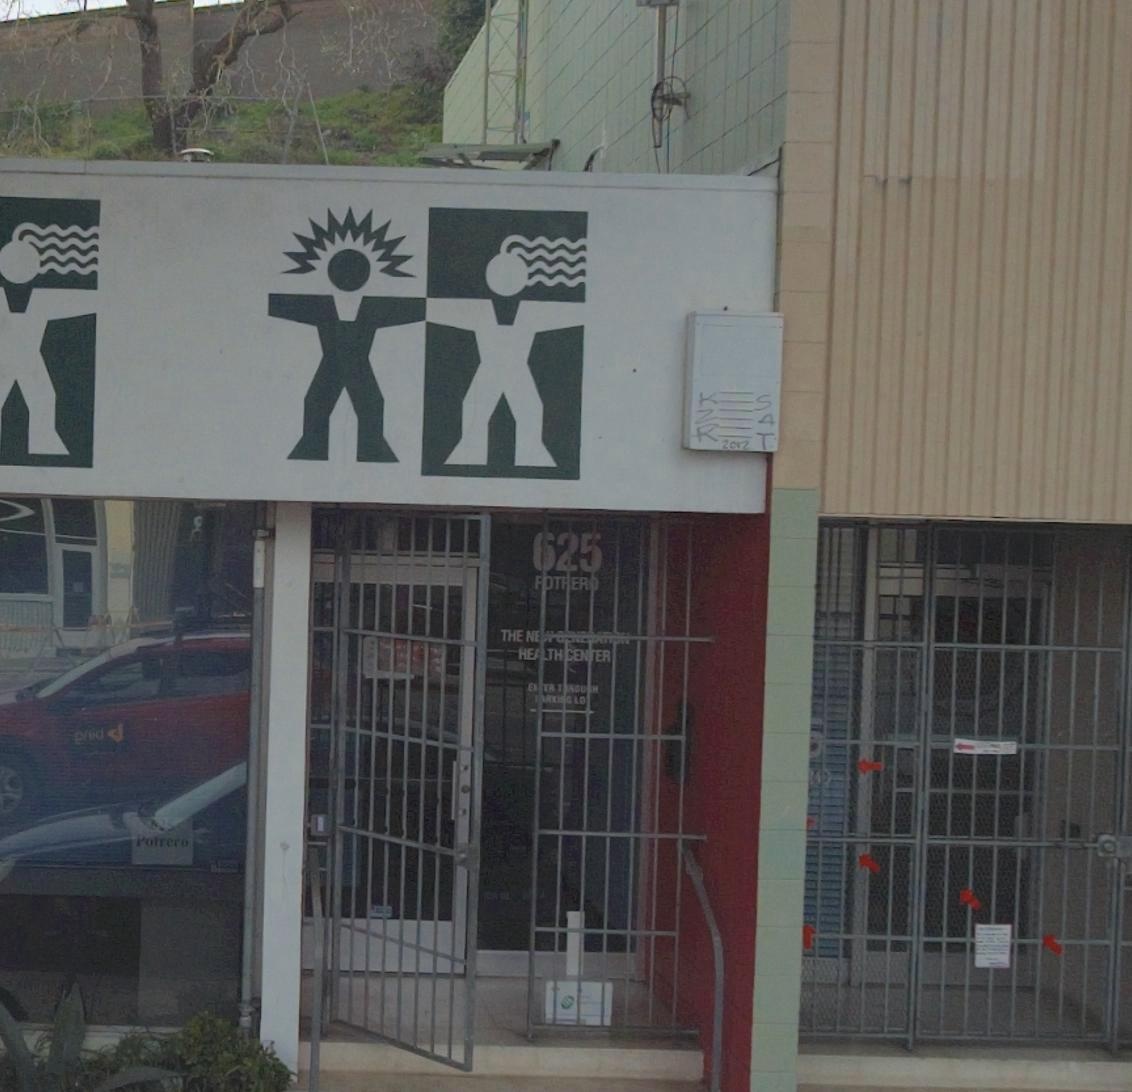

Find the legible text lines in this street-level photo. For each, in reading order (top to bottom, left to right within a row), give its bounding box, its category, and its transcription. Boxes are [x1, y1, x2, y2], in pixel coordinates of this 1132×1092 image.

[696, 389, 722, 445] None: KZR
[753, 390, 778, 454] None: SAT
[721, 437, 754, 451] None: 2012
[533, 573, 601, 592] StreetName: *OT*ER*
[499, 627, 541, 643] BusinessName: THE NE
[517, 646, 612, 663] BusinessName: HE*lTH CEN*ER
[526, 681, 557, 693] None: E*ER
[533, 694, 587, 705] None: **RK**G LO
[150, 817, 177, 833] StreetNumber: 625
[134, 832, 191, 849] StreetName: Potrero